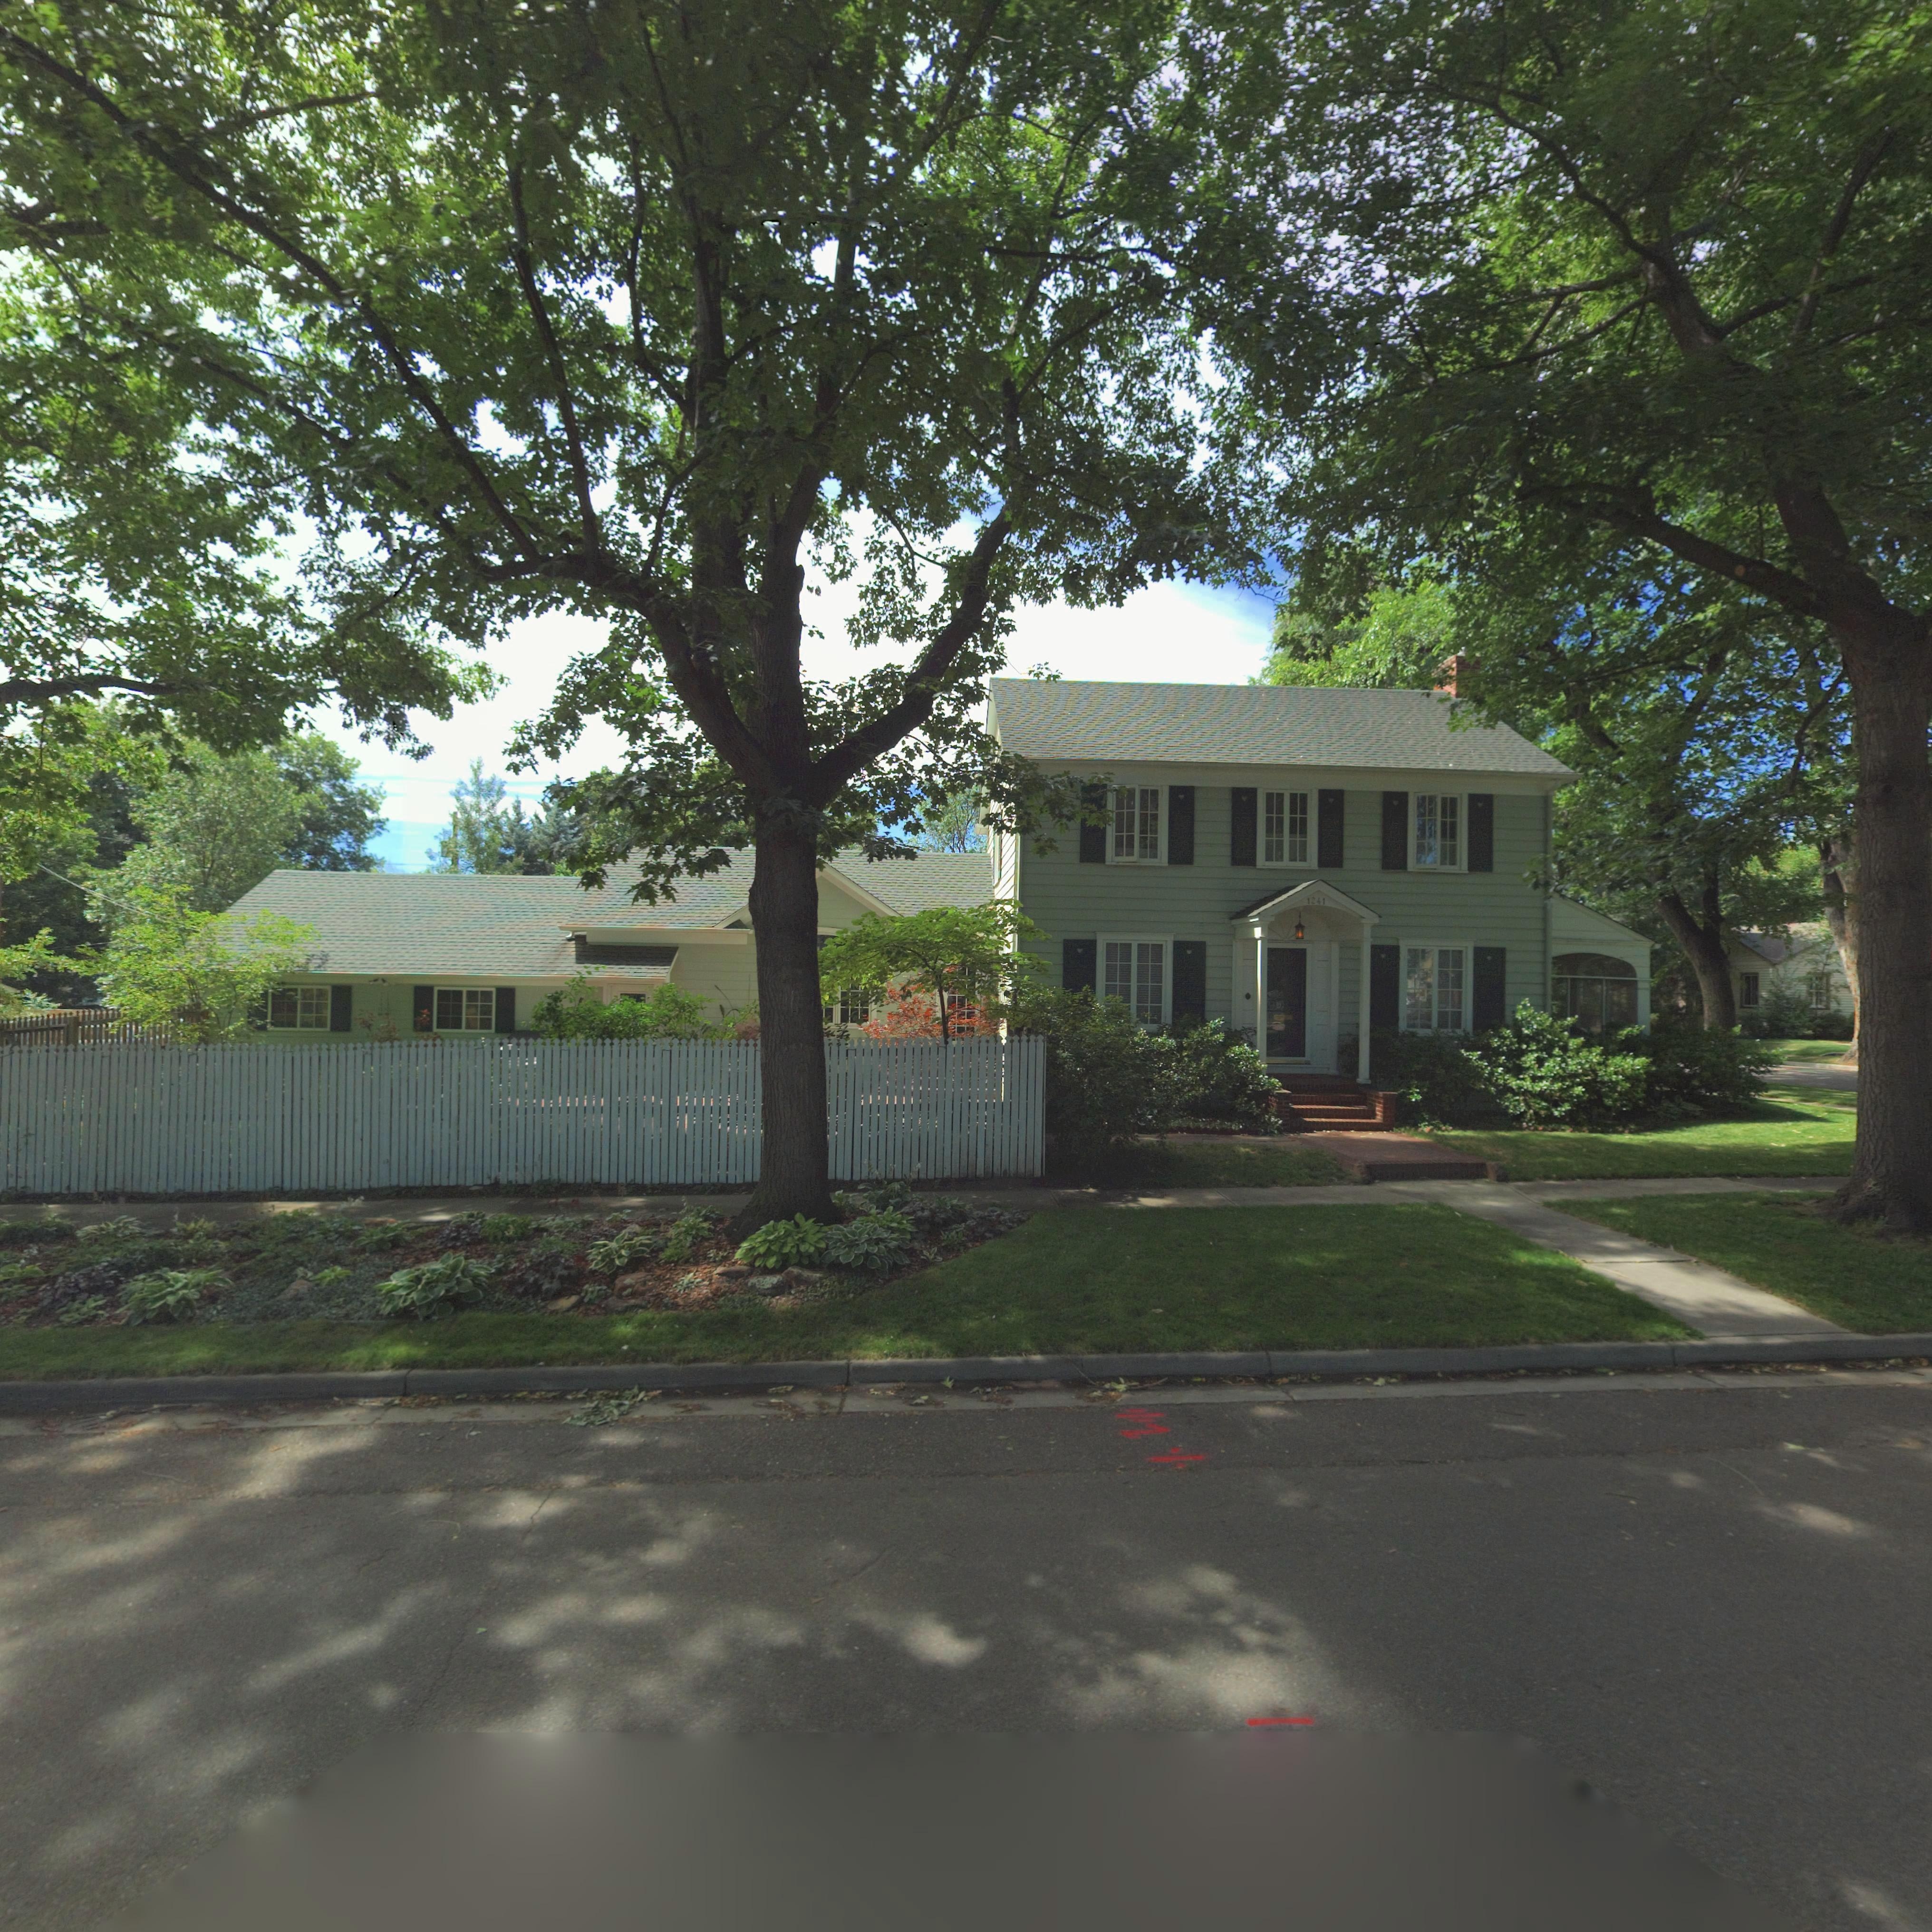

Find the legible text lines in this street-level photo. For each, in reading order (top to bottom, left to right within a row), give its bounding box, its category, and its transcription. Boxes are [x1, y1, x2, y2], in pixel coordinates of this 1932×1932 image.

[1307, 897, 1325, 904] StreetNumber: 1241